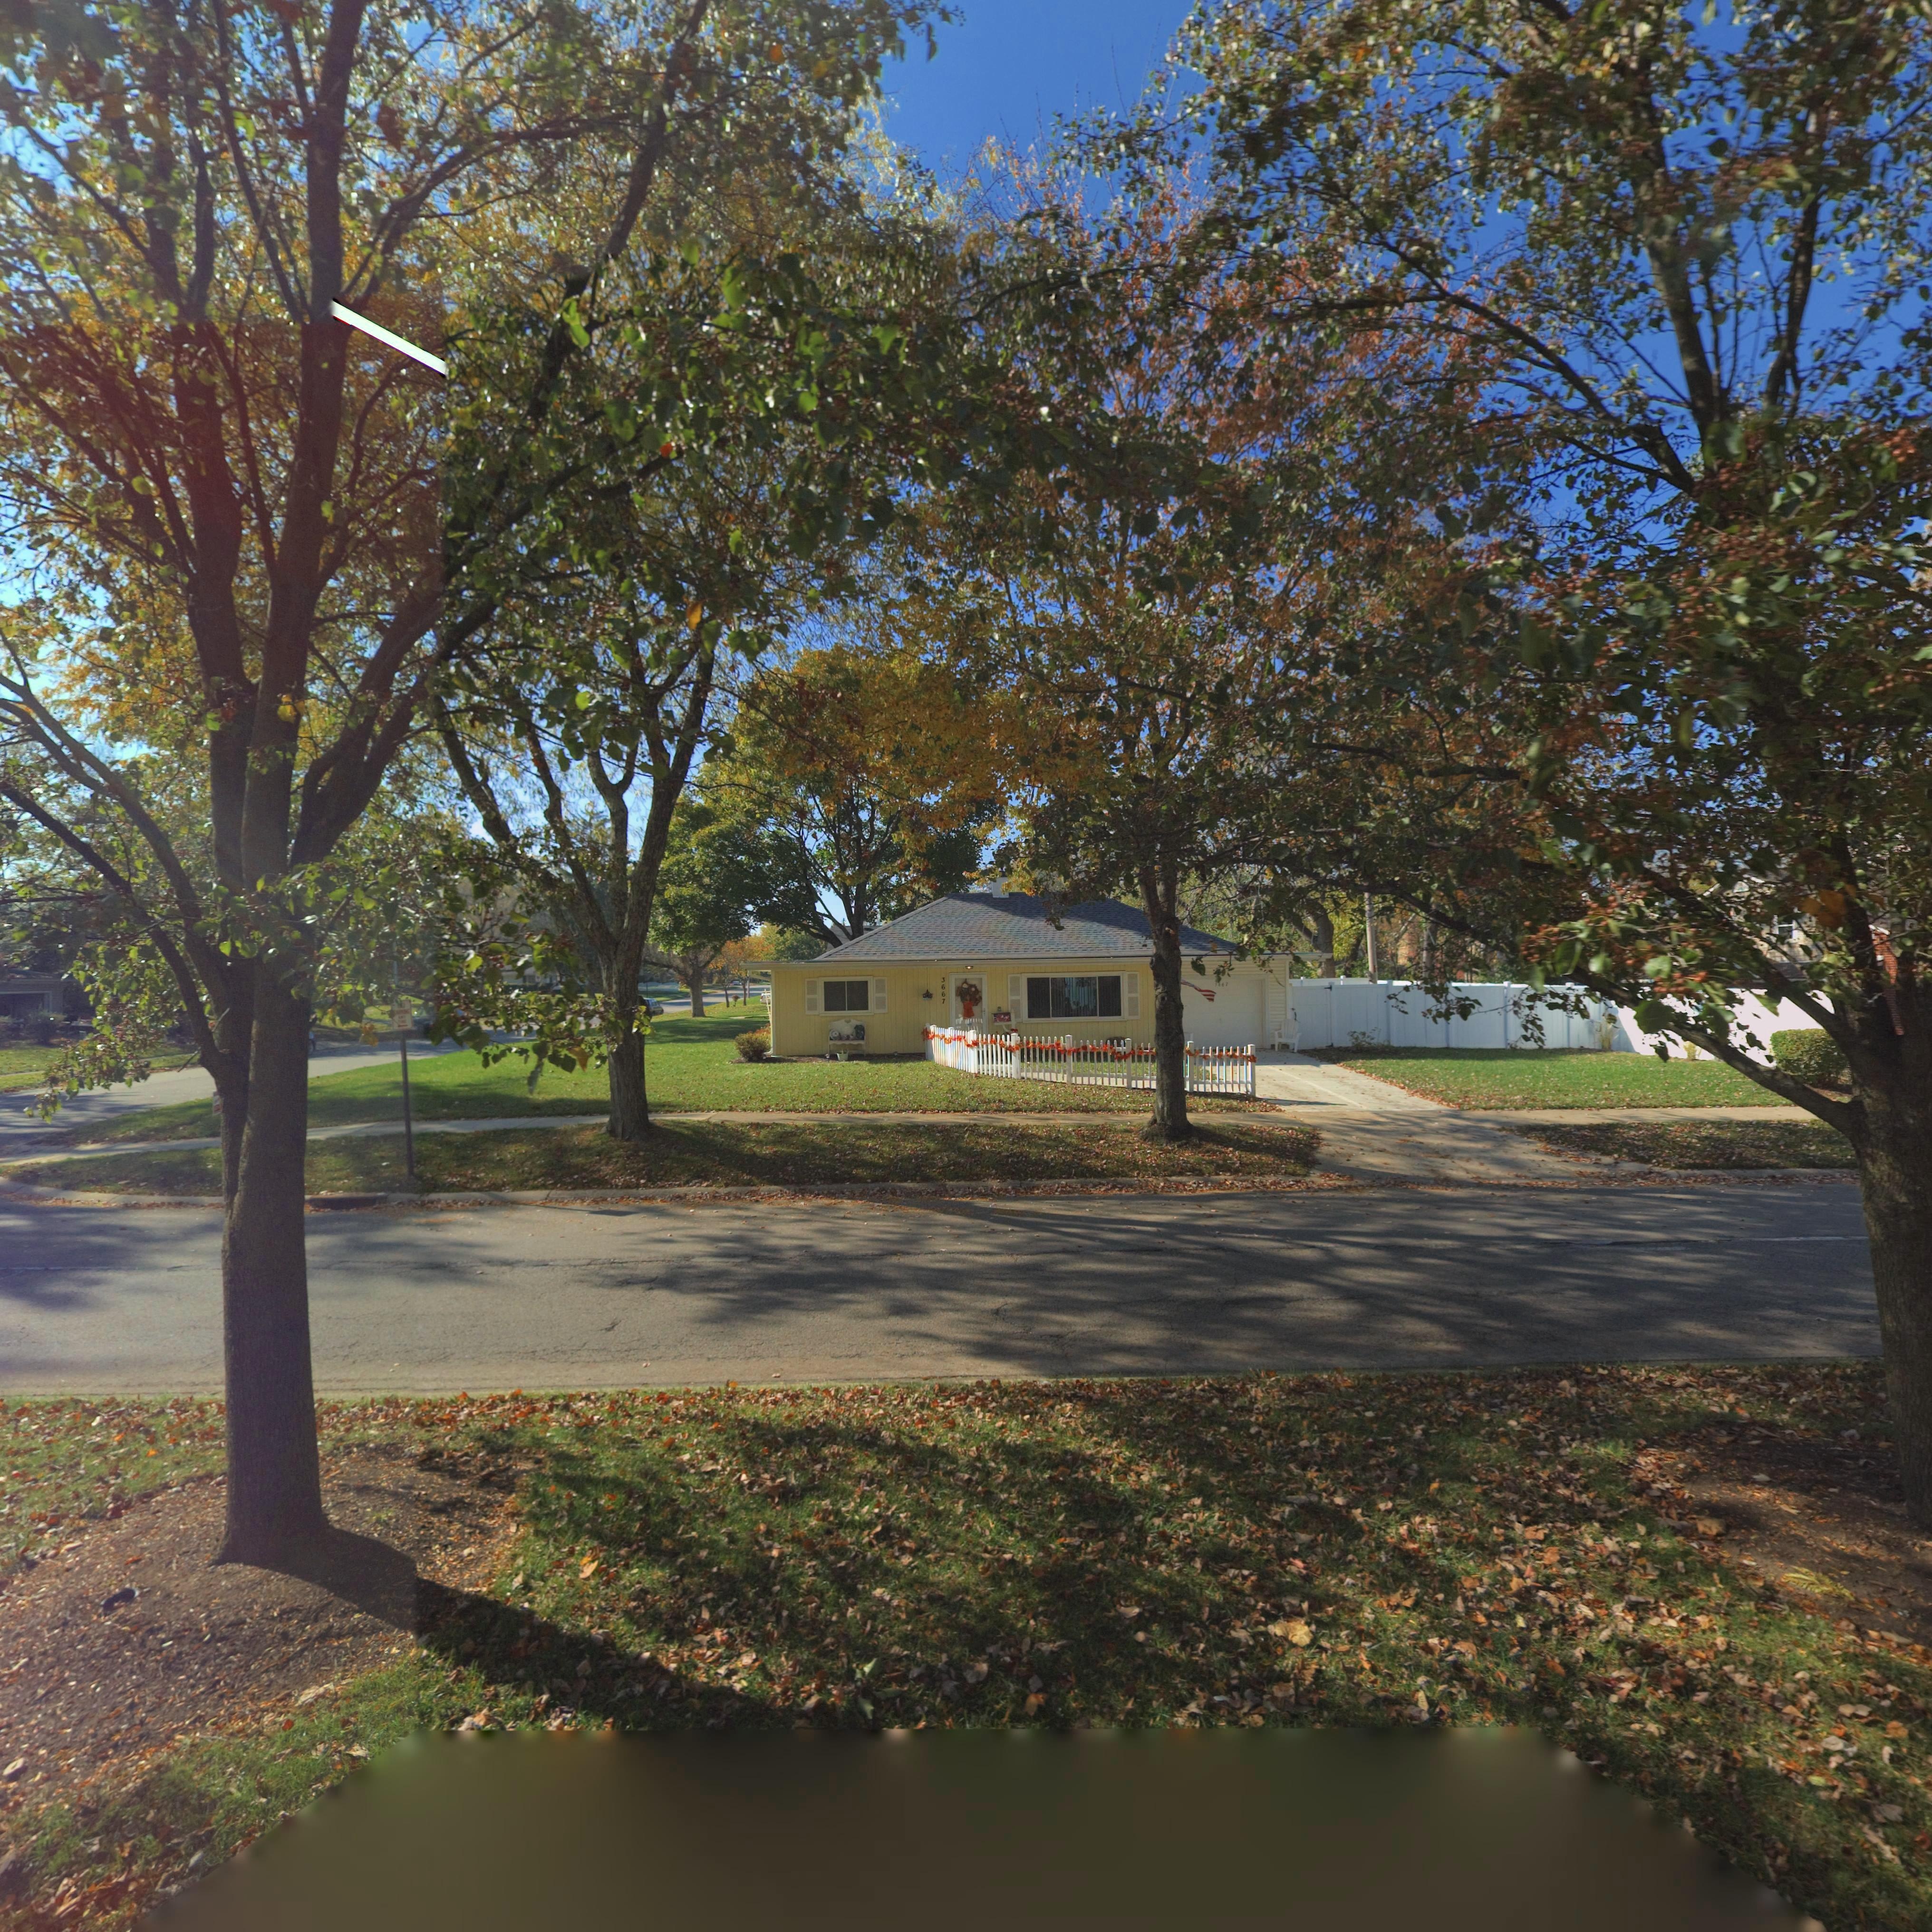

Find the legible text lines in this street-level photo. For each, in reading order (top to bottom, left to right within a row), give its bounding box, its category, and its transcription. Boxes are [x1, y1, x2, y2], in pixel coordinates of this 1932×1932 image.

[940, 976, 947, 1005] StreetNumber: 3667